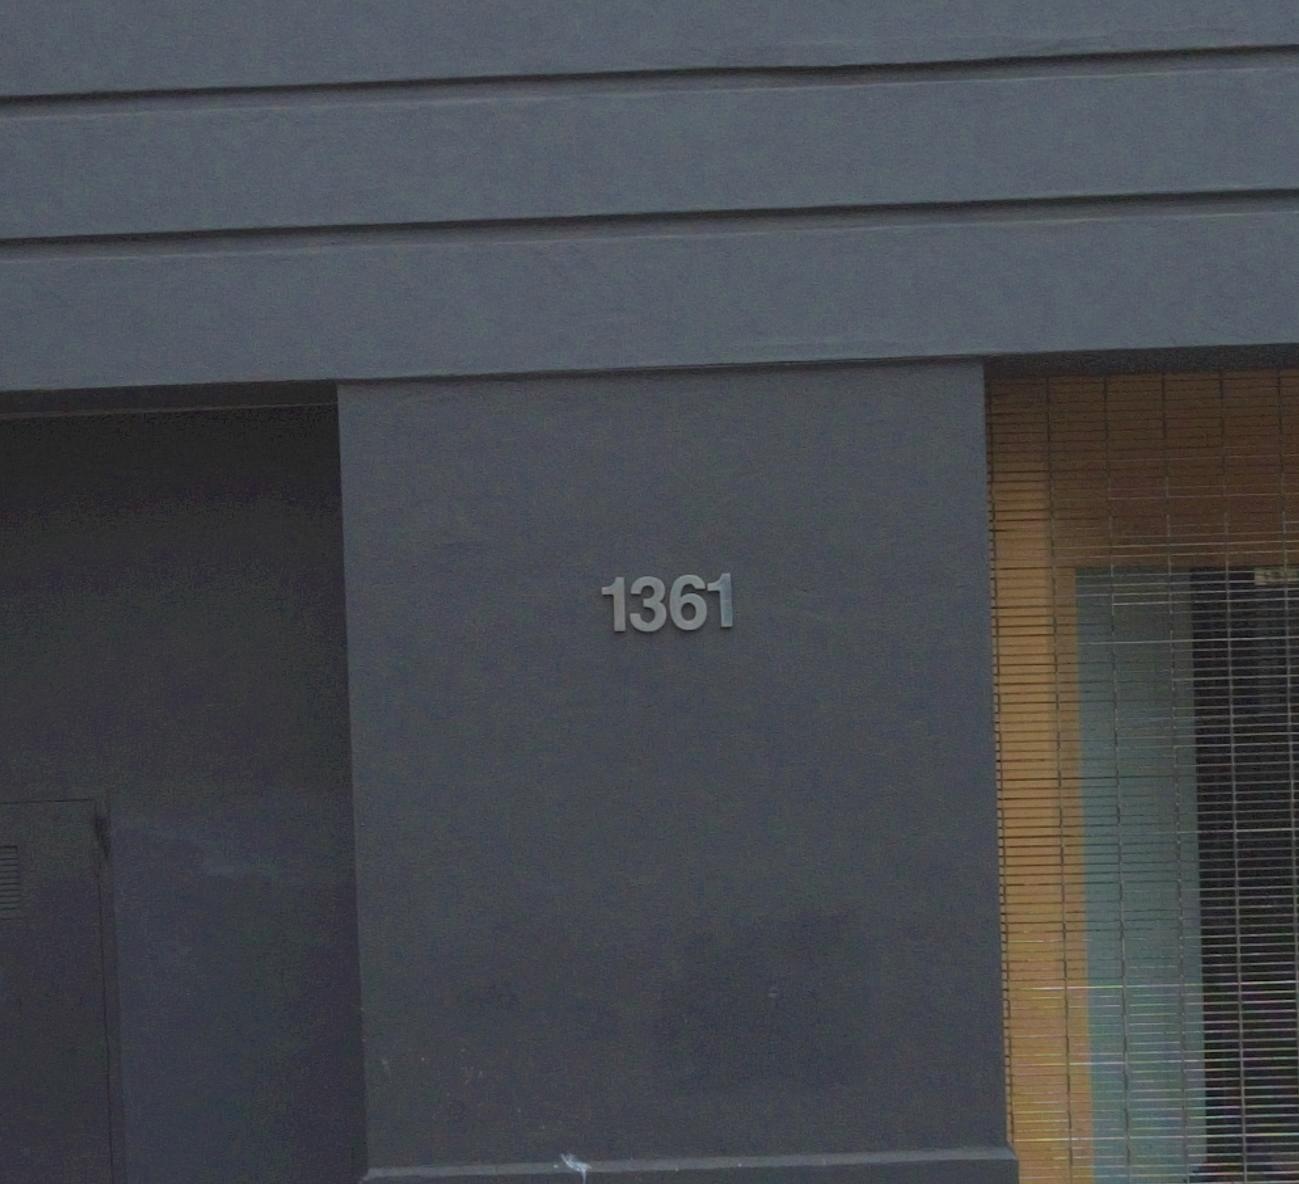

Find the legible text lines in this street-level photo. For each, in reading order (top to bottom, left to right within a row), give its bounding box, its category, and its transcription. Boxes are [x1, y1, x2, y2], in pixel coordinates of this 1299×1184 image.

[596, 567, 739, 639] StreetNumber: 1361